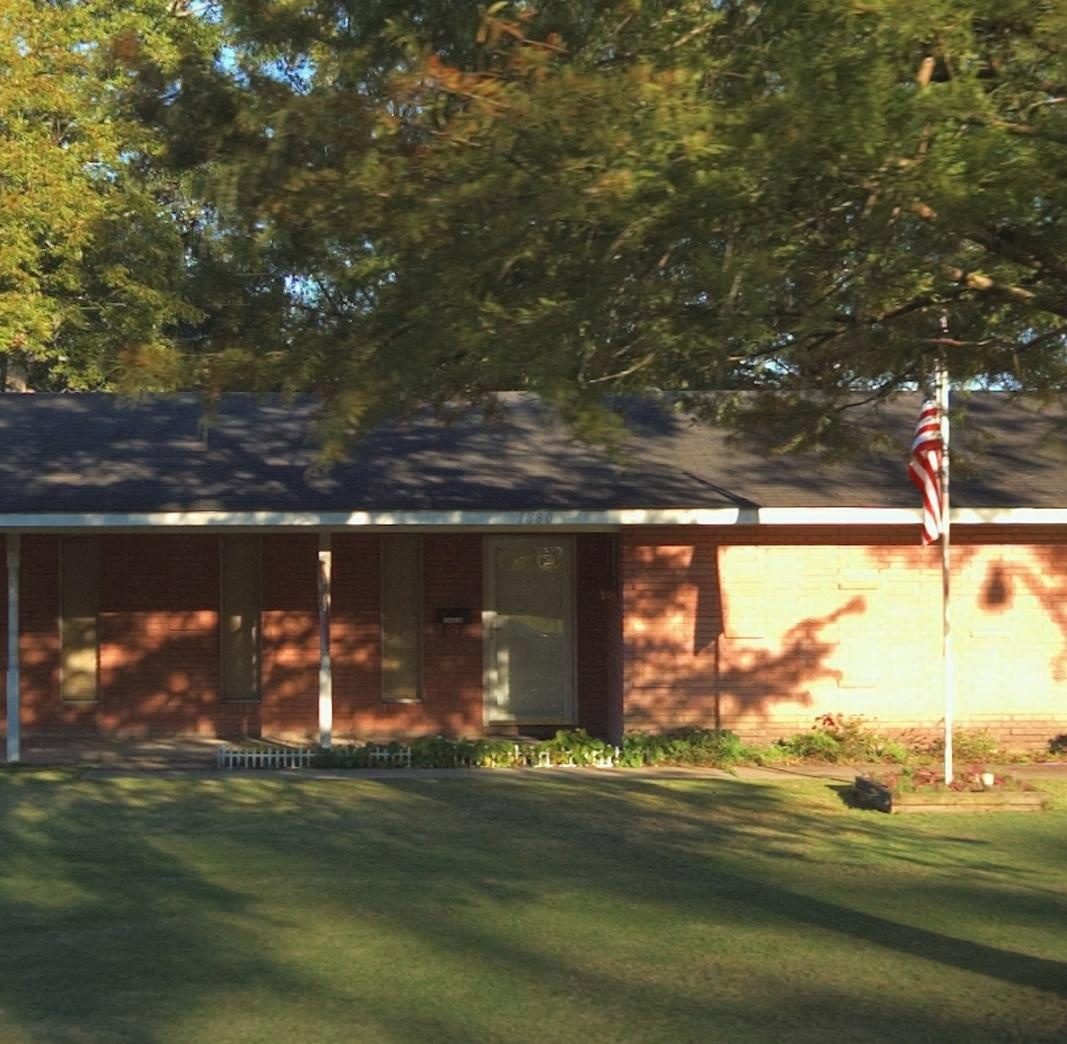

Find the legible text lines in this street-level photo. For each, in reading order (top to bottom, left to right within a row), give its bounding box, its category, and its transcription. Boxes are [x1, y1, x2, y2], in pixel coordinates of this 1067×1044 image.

[516, 510, 555, 525] StreetNumber: 1880